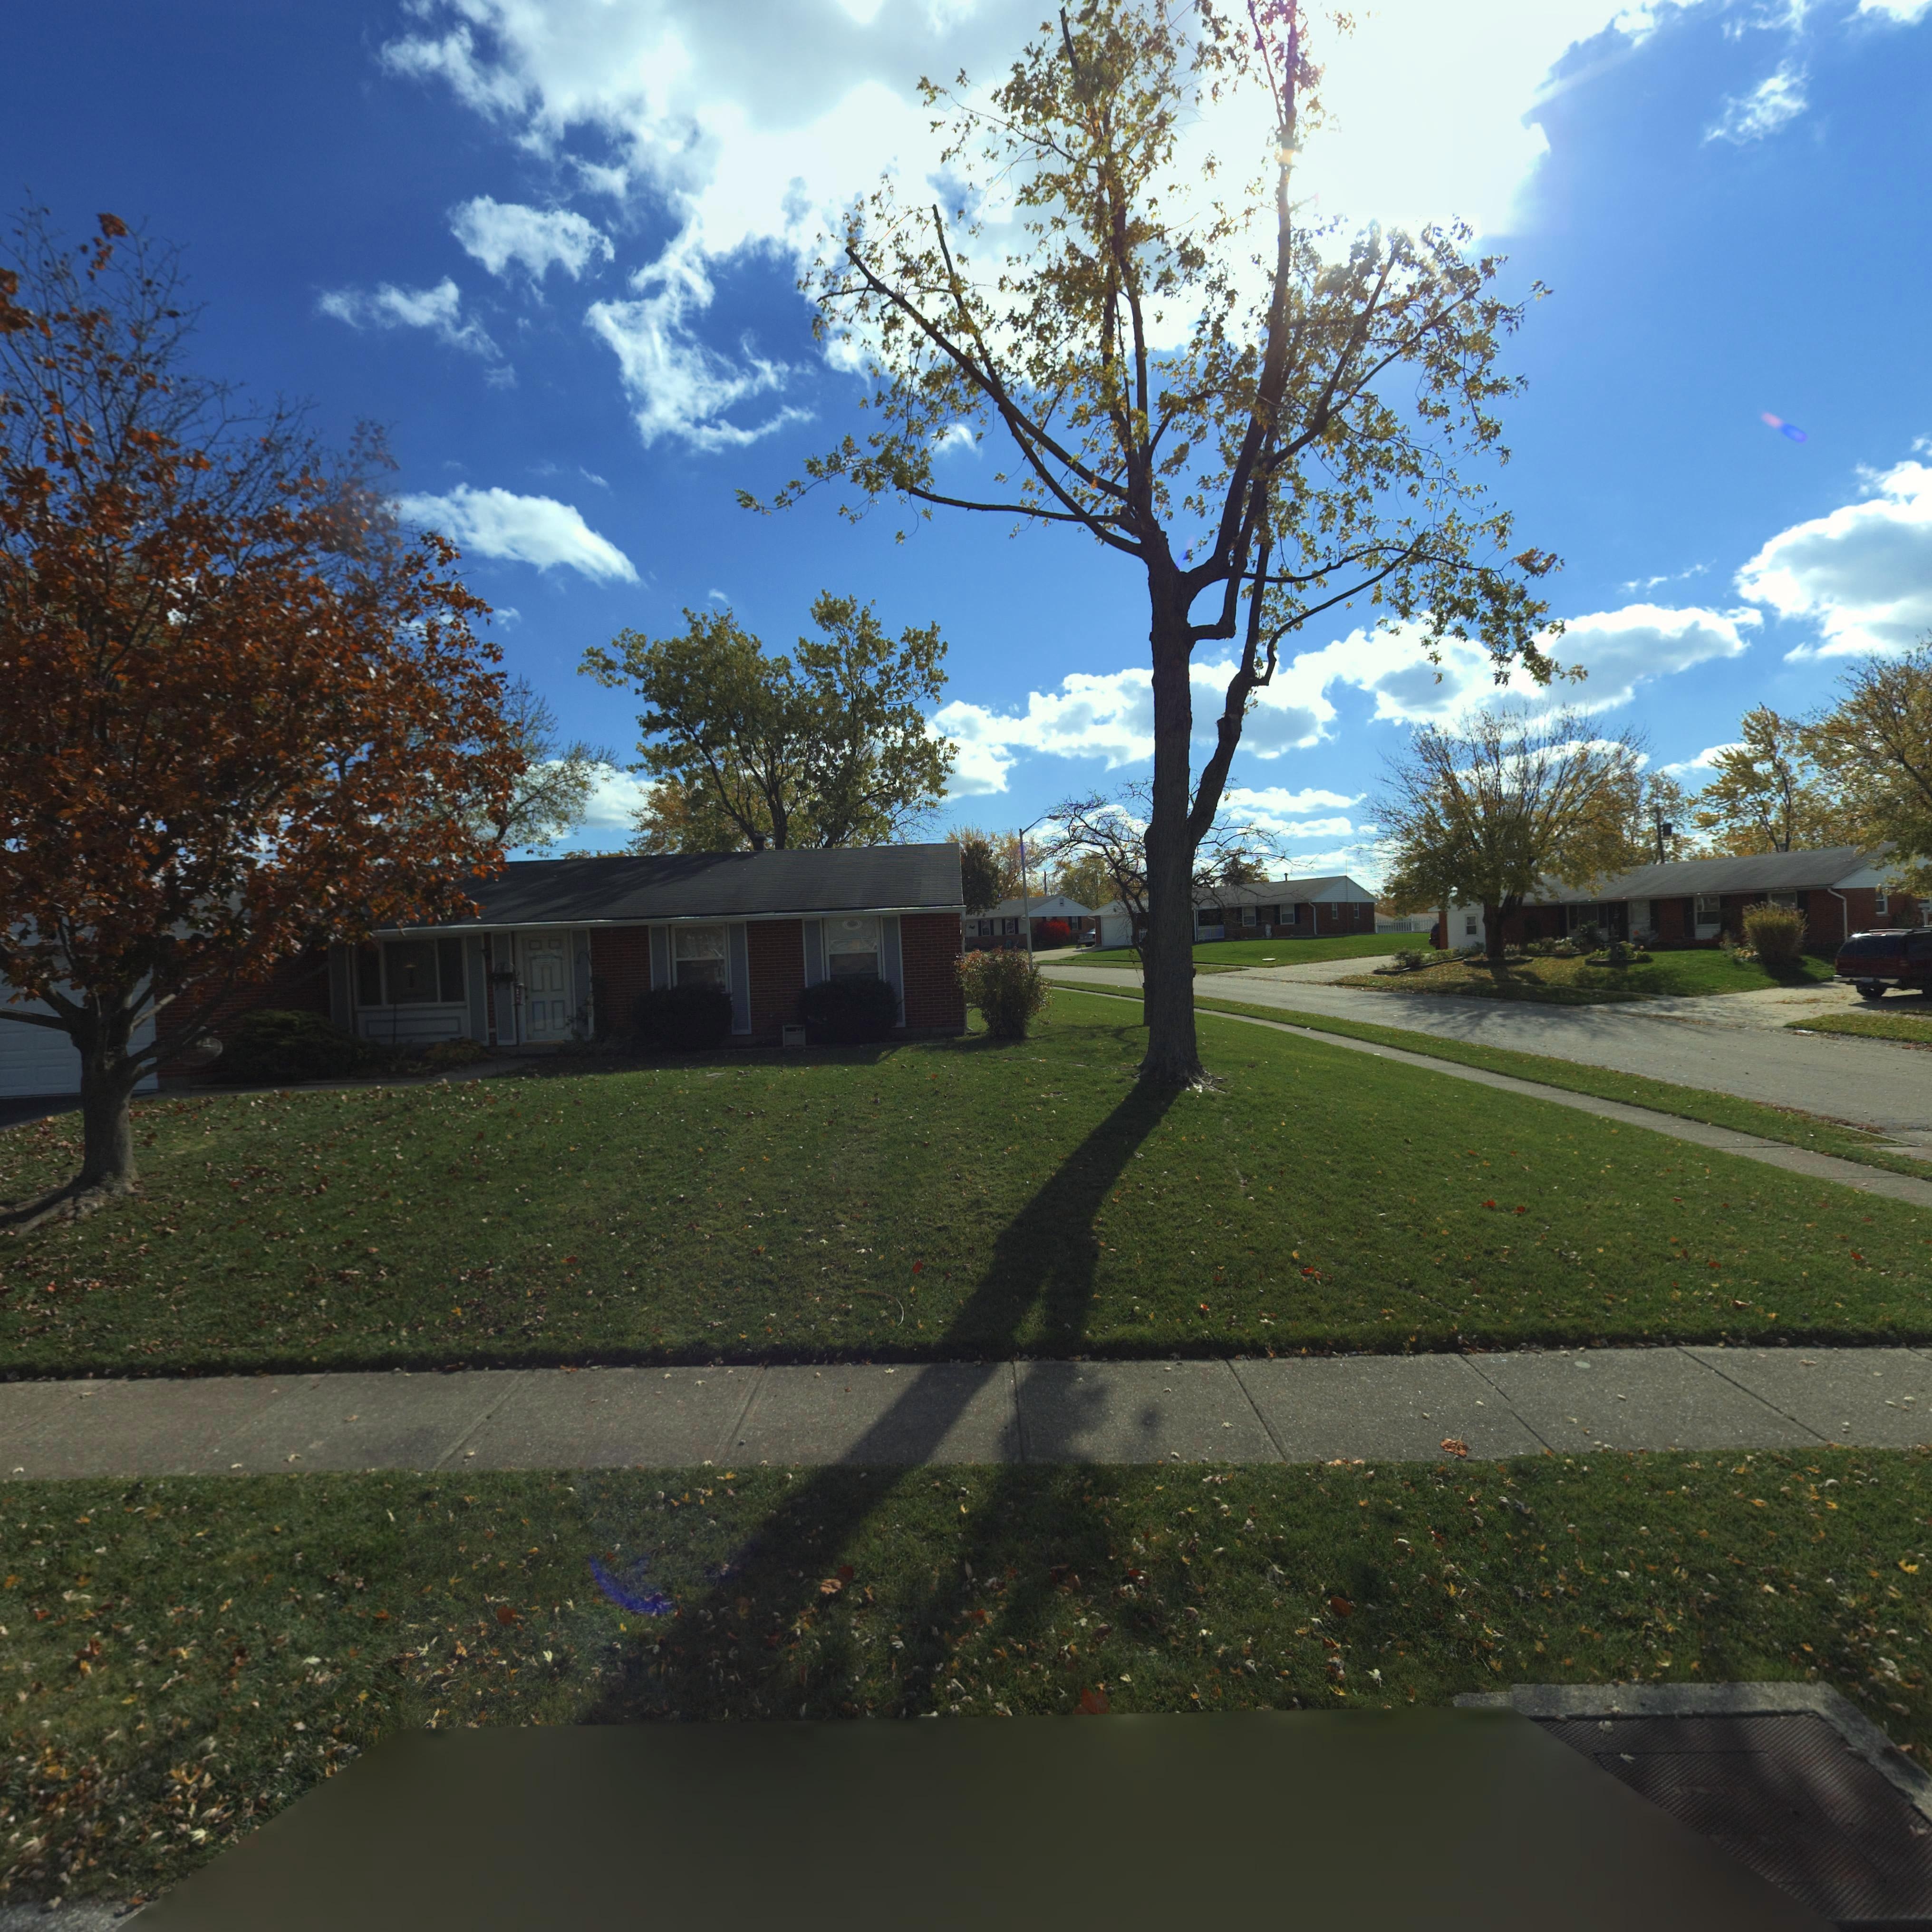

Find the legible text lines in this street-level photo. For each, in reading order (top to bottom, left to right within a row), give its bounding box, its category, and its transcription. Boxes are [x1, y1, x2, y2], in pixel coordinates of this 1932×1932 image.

[588, 1006, 593, 1017] StreetNumber: 00